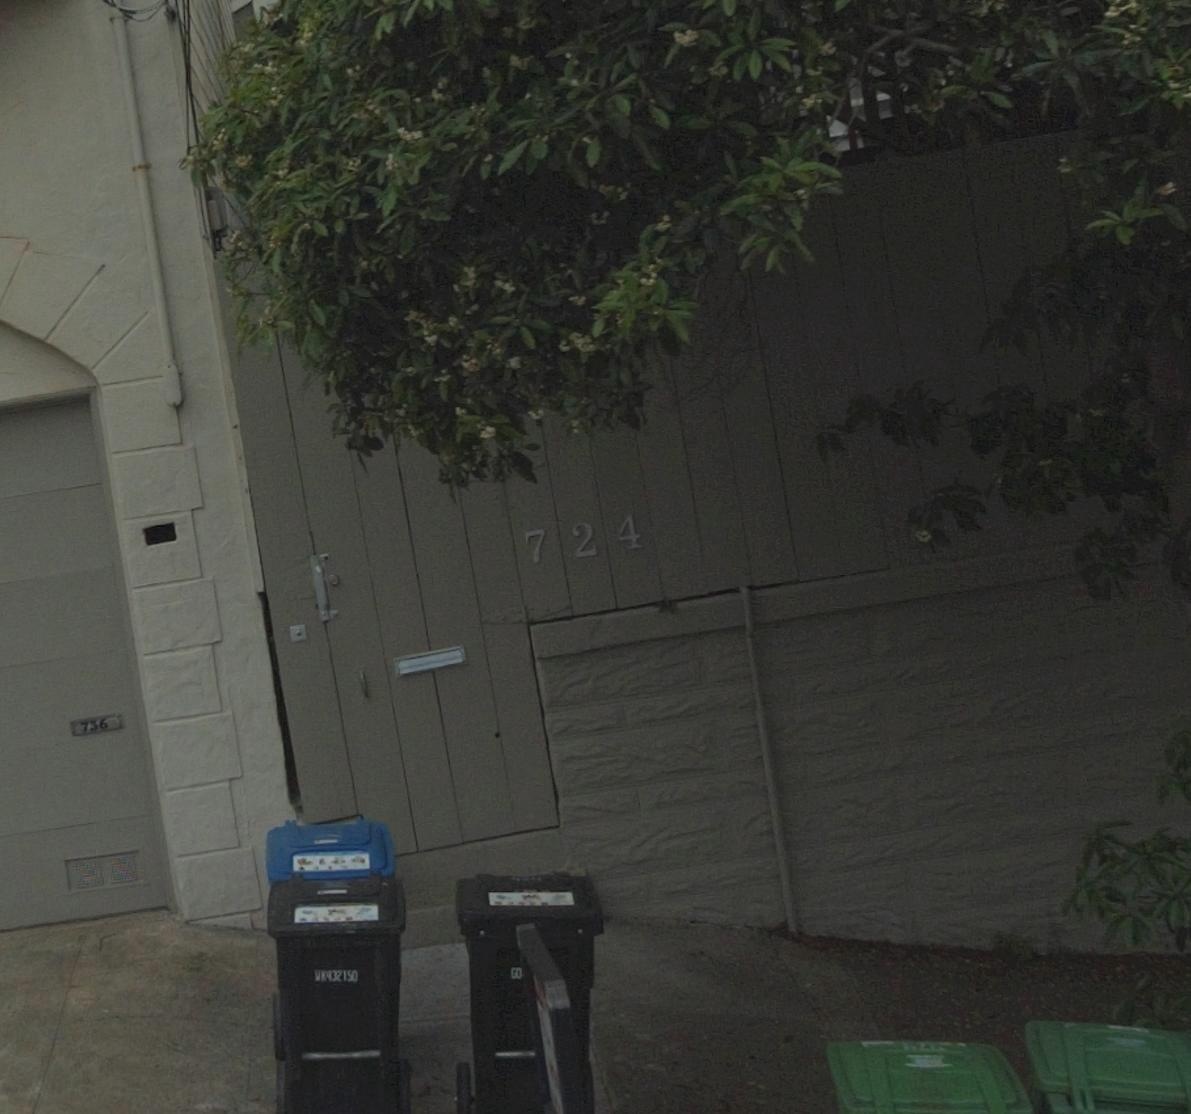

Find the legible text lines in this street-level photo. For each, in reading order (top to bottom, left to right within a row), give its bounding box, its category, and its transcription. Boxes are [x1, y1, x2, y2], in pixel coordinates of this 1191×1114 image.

[521, 511, 646, 566] StreetNumber: 724
[78, 717, 110, 734] None: 736
[312, 968, 359, 983] None: WK432150